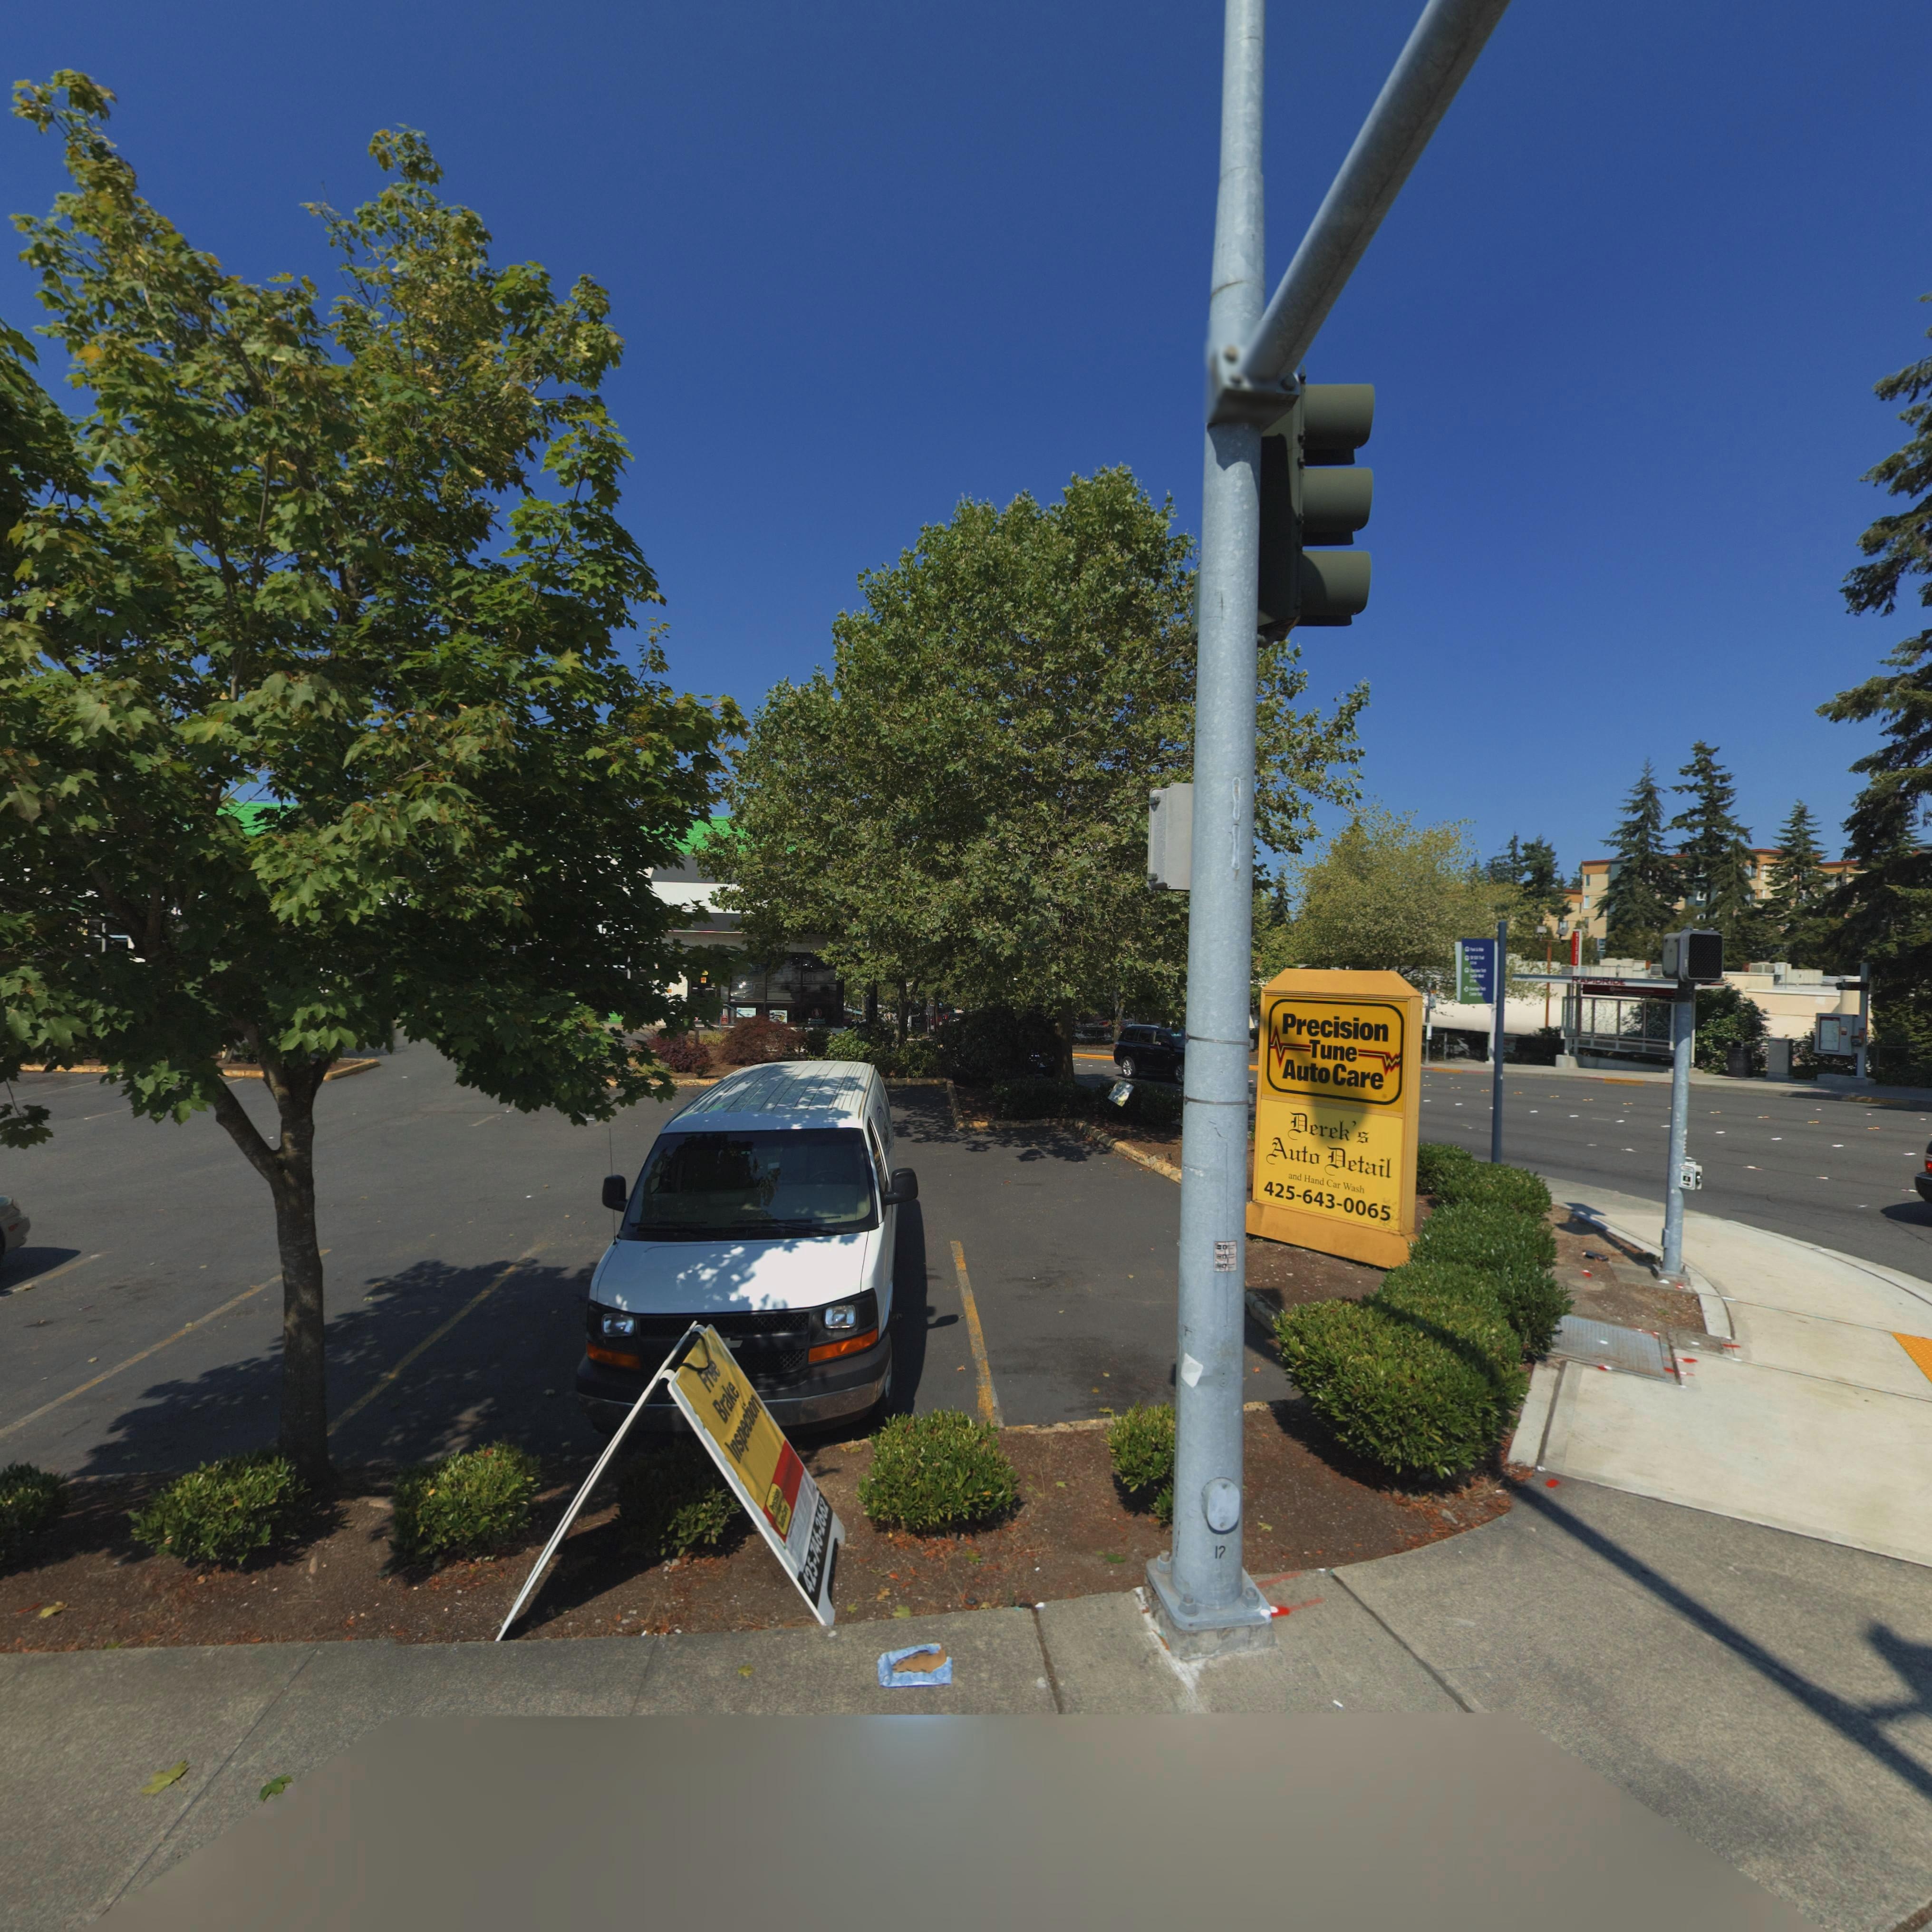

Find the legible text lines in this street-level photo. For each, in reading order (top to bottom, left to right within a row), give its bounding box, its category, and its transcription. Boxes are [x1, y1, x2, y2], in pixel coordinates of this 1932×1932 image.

[1280, 1008, 1391, 1043] BusinessName: Precision 
[1308, 1037, 1359, 1064] BusinessName: Tune
[1283, 1059, 1383, 1090] BusinessName: Auto Care
[1286, 1109, 1372, 1145] BusinessName: Derek's
[1264, 1132, 1393, 1179] BusinessName: Auto Detail
[1264, 1181, 1391, 1221] PhoneNumber: 425-643-0065